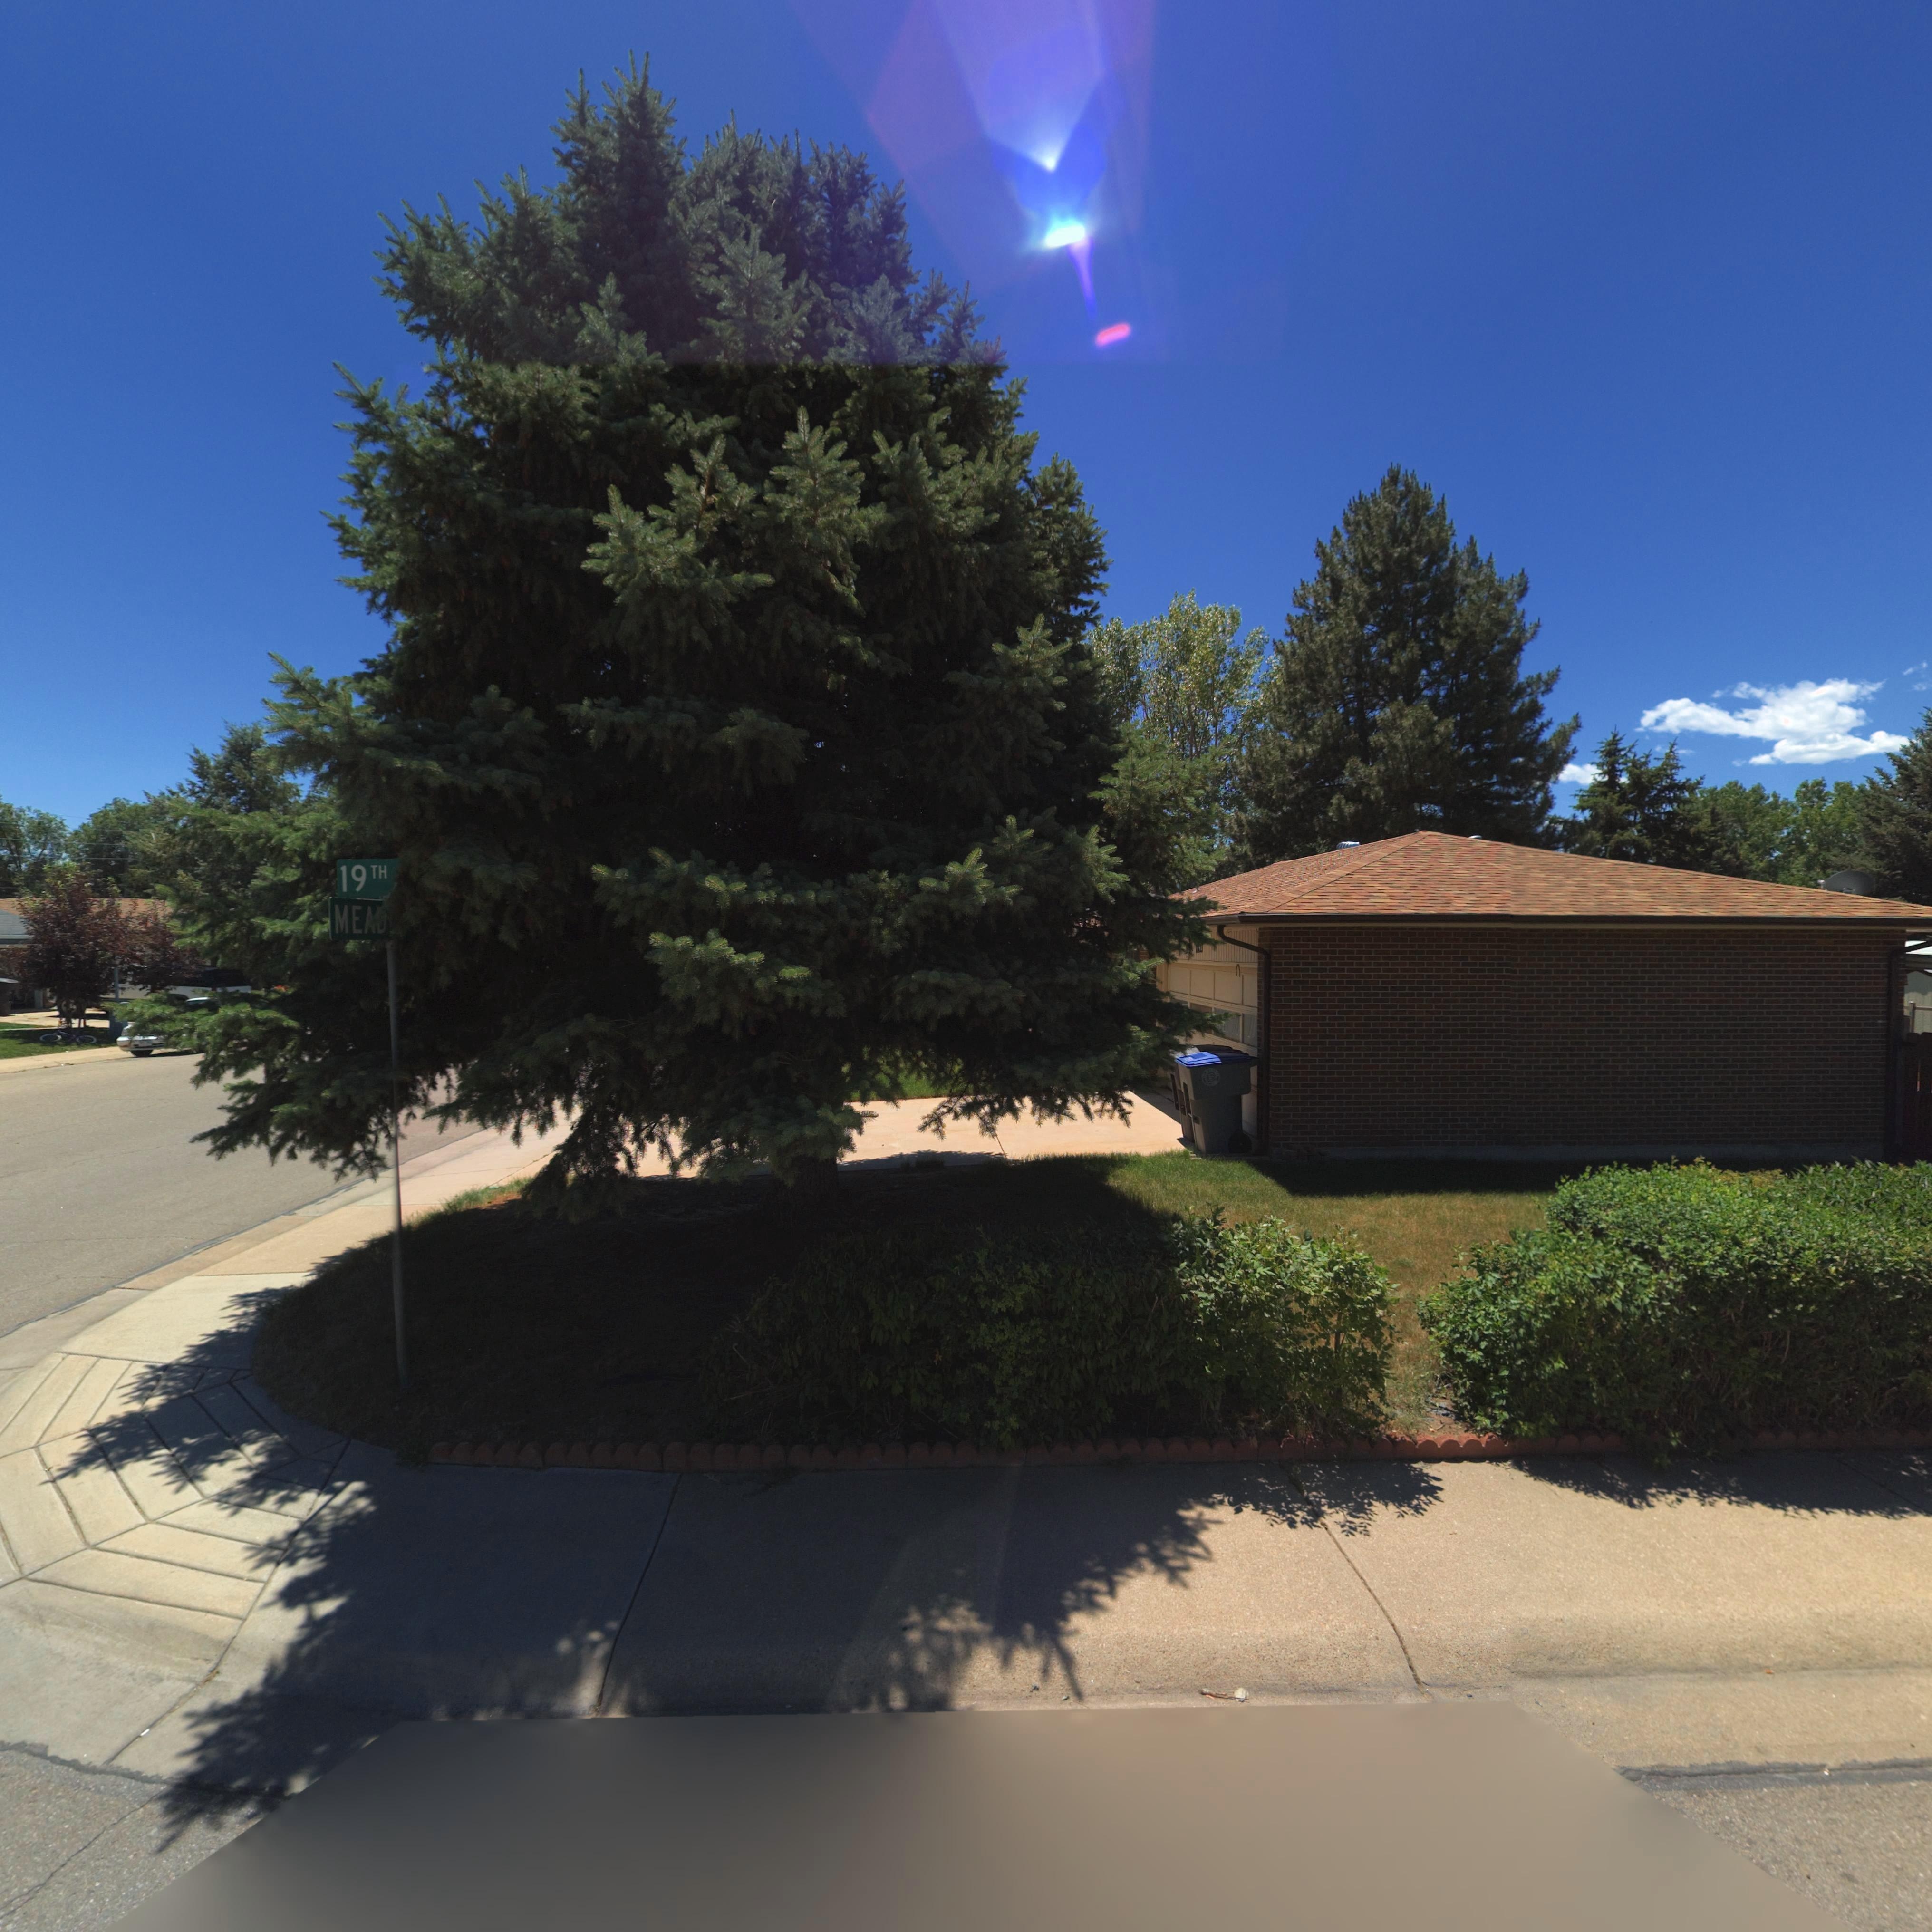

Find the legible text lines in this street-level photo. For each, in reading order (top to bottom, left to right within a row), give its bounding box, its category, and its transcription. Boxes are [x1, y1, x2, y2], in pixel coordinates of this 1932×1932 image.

[339, 864, 387, 892] StreetName: 19 TH
[335, 904, 386, 934] StreetName: ME**